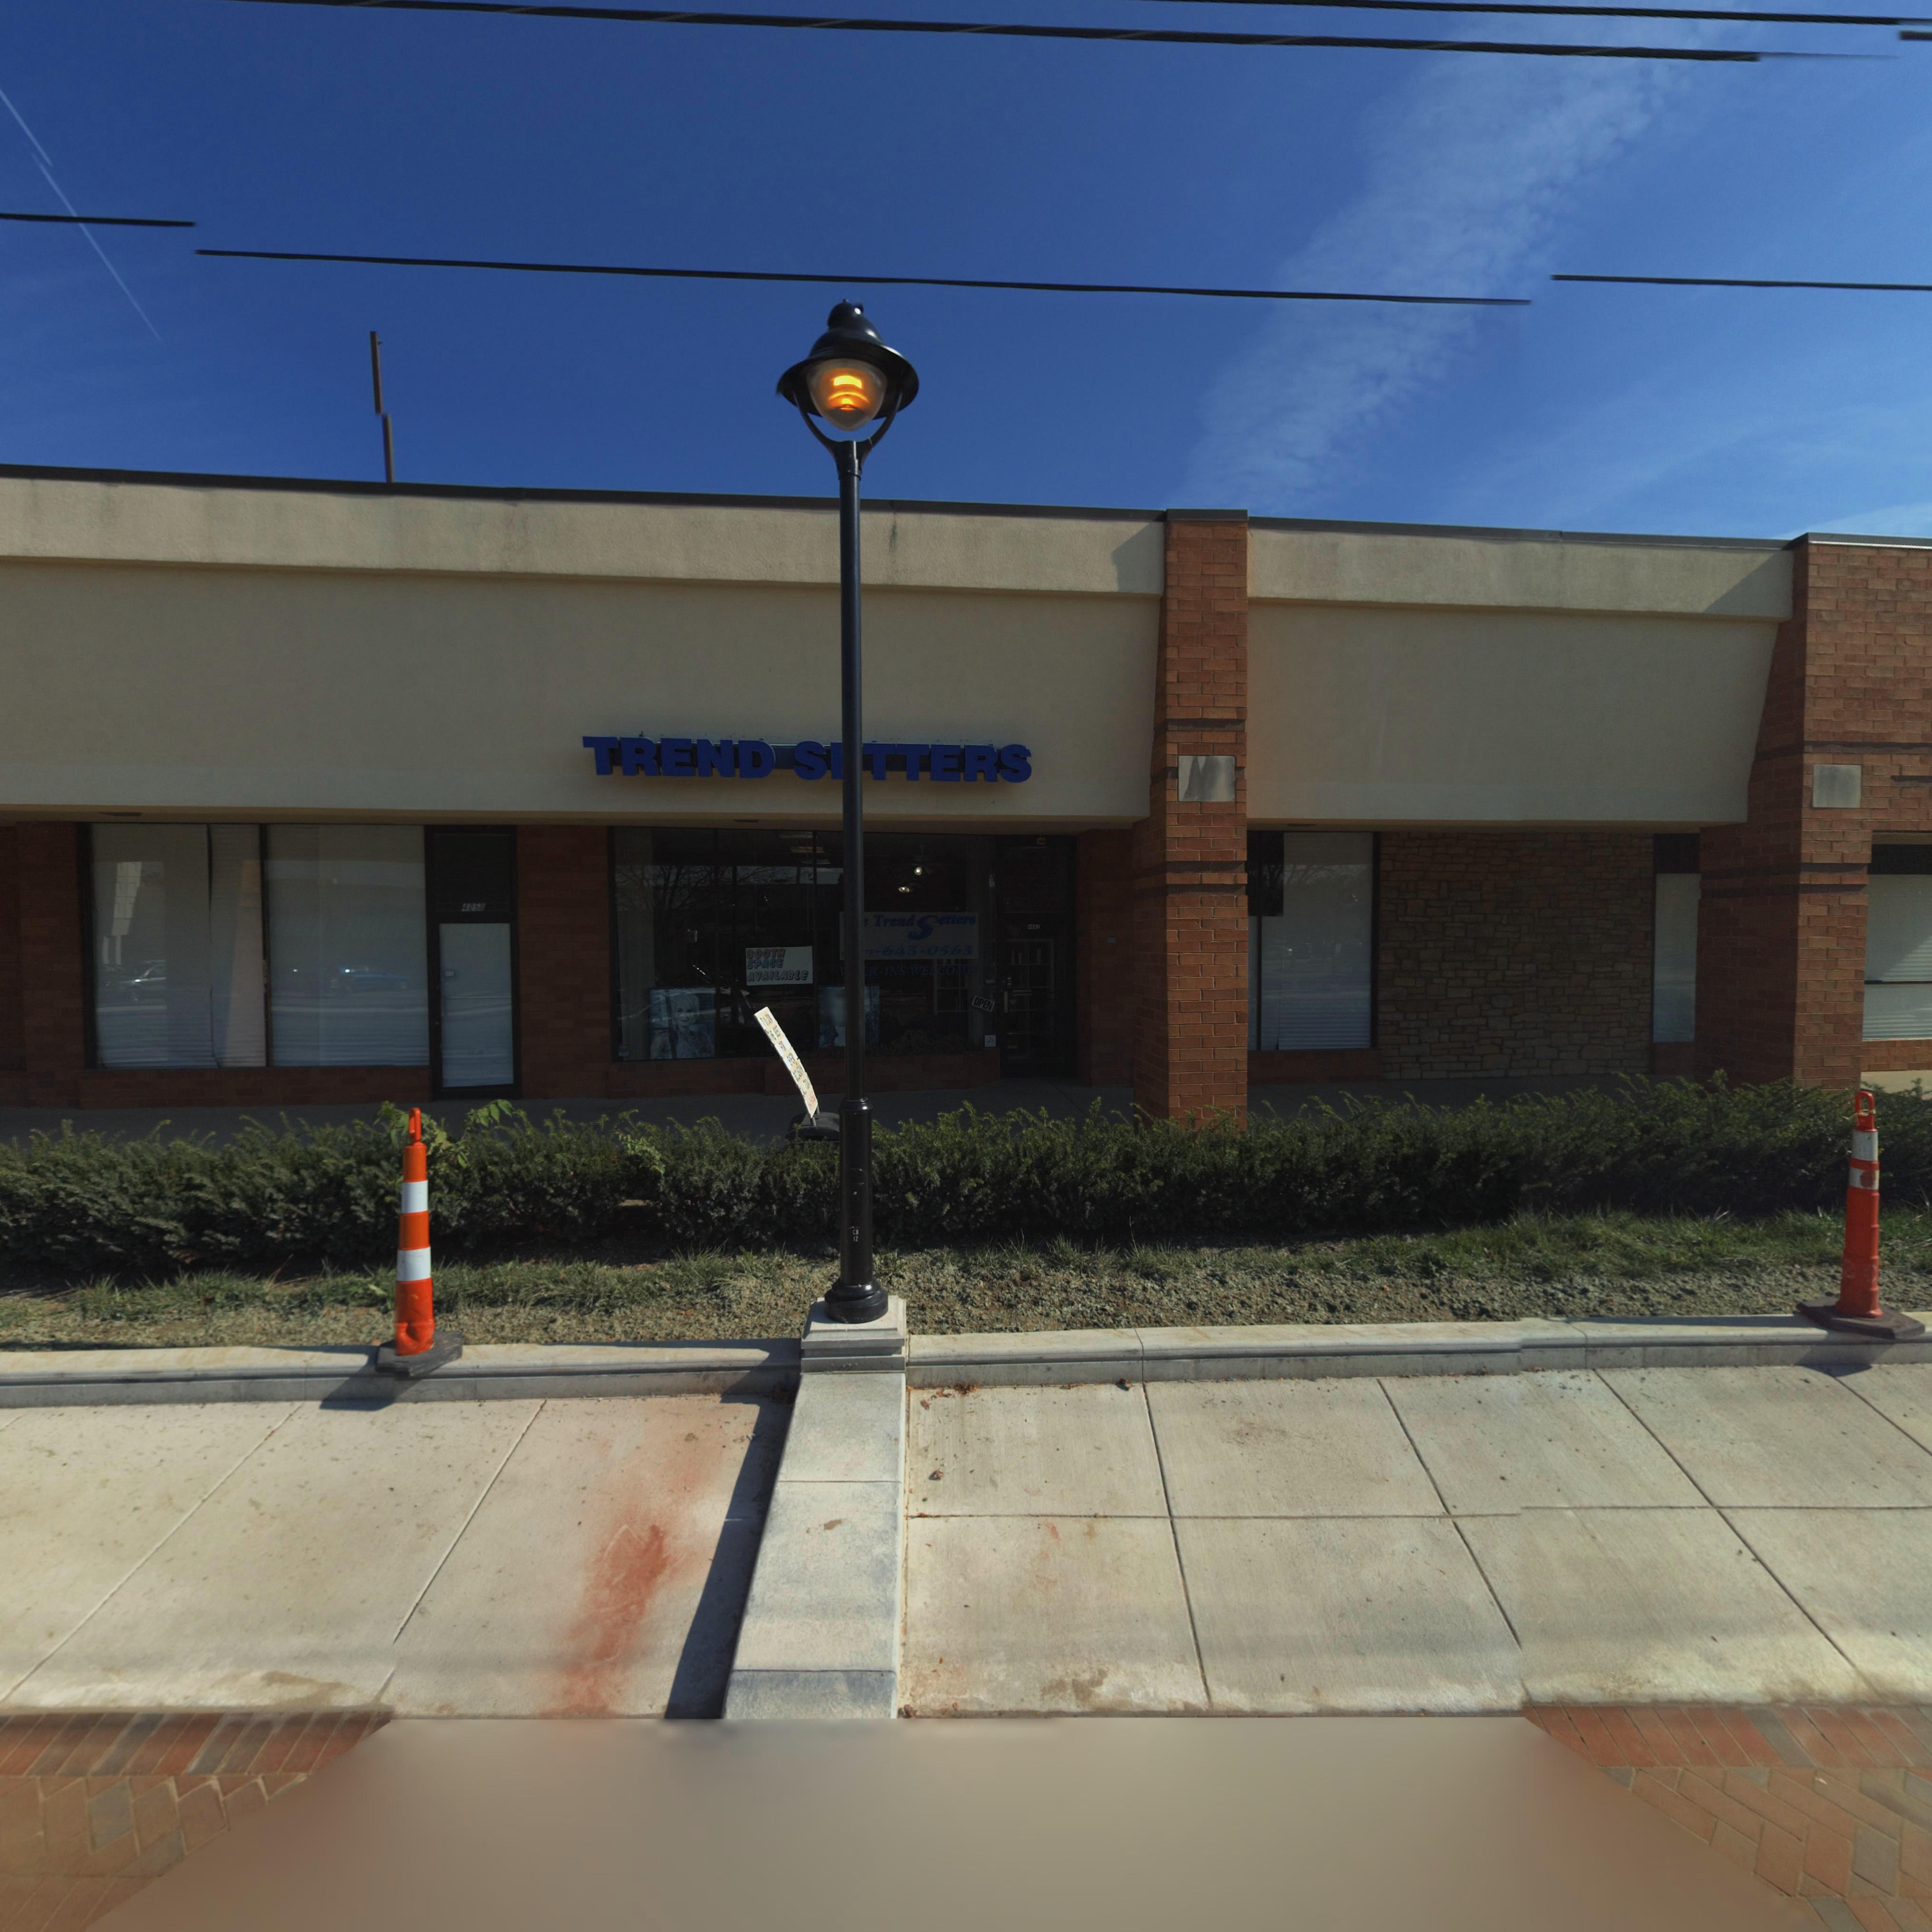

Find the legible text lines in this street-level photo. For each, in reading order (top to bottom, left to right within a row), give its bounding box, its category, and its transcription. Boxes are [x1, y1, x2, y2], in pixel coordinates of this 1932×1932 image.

[580, 734, 1034, 784] BusinessName: TREND S*TTERS
[462, 903, 486, 911] StreetNumber: 4058
[873, 914, 976, 941] BusinessName: Trend Setters
[1027, 924, 1040, 929] StreetNumber: 4062
[745, 948, 787, 959] None: BOOTH
[881, 944, 974, 956] None: 643-0563
[746, 958, 784, 970] None: SPACE
[746, 970, 810, 983] None: AVAILABLE
[867, 965, 967, 976] None: K-INS WELCOM
[973, 996, 995, 1011] None: OPEN